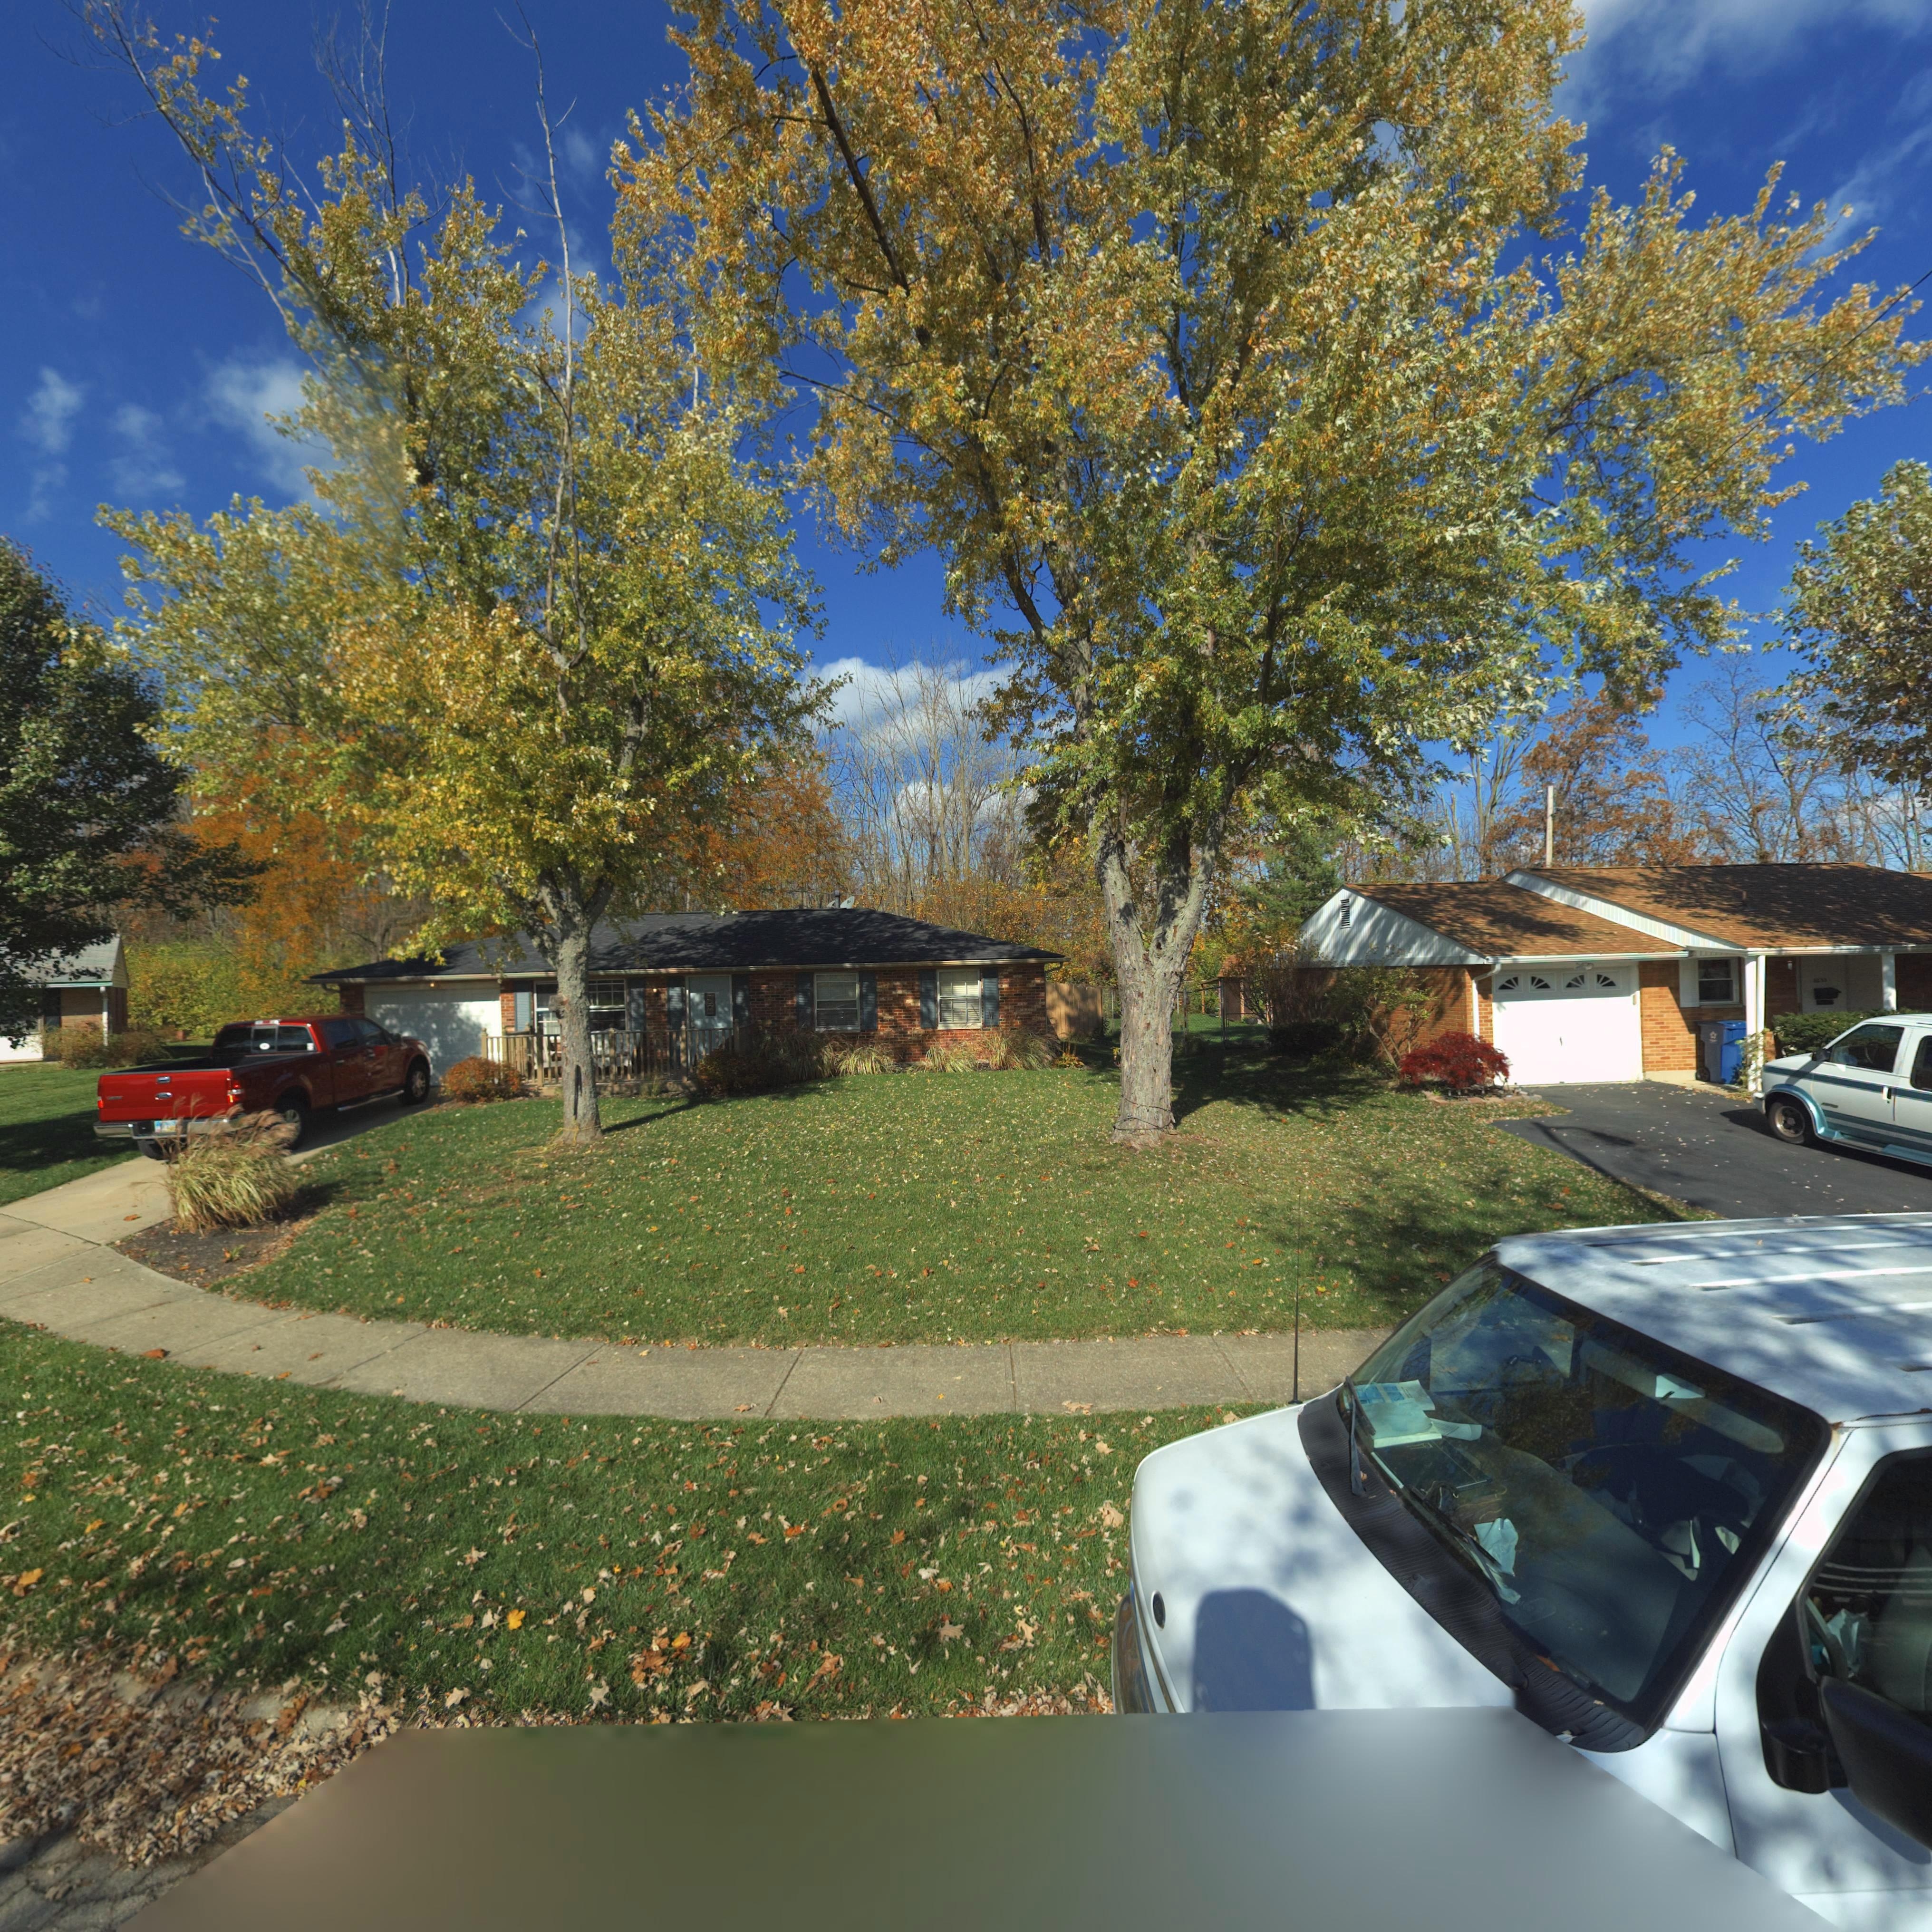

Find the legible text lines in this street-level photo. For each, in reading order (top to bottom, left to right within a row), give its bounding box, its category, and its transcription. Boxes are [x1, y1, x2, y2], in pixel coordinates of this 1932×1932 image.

[1813, 977, 1828, 983] StreetNumber: 6655